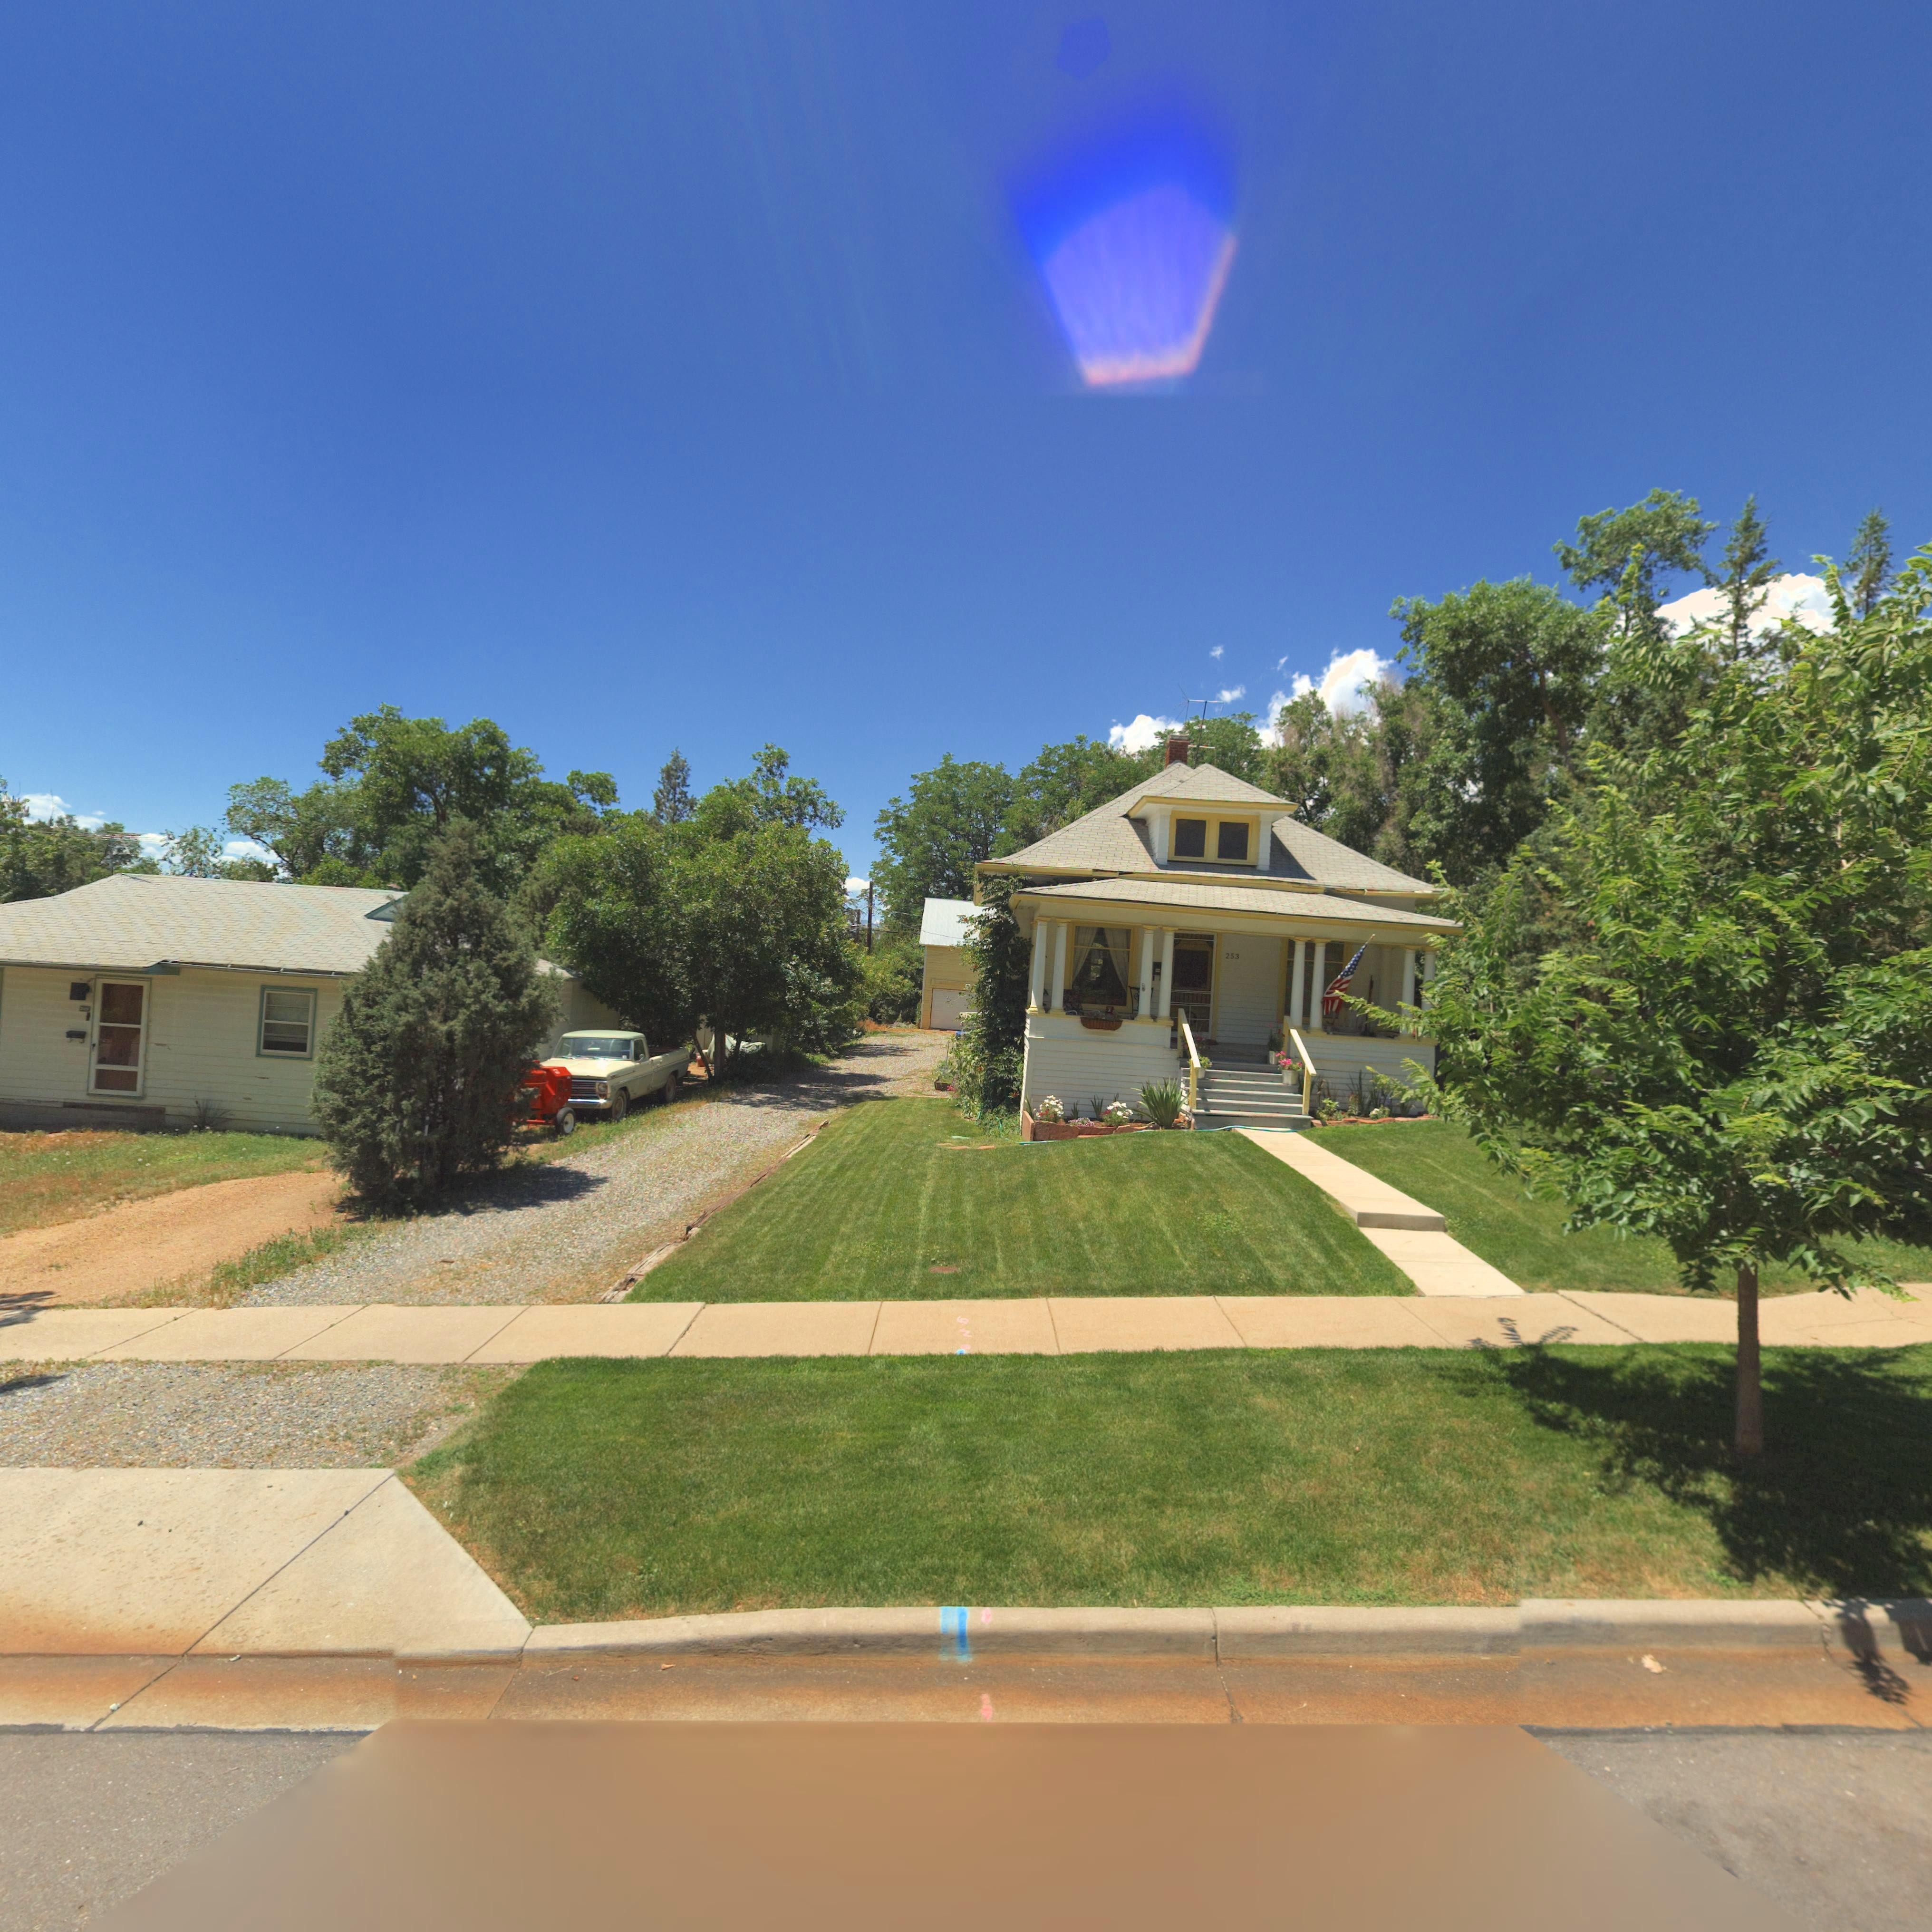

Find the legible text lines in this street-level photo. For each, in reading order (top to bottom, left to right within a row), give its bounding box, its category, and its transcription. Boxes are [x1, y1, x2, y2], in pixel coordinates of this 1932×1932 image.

[1225, 952, 1239, 959] StreetNumber:  253
[79, 1006, 89, 1011] StreetNumber: 24*